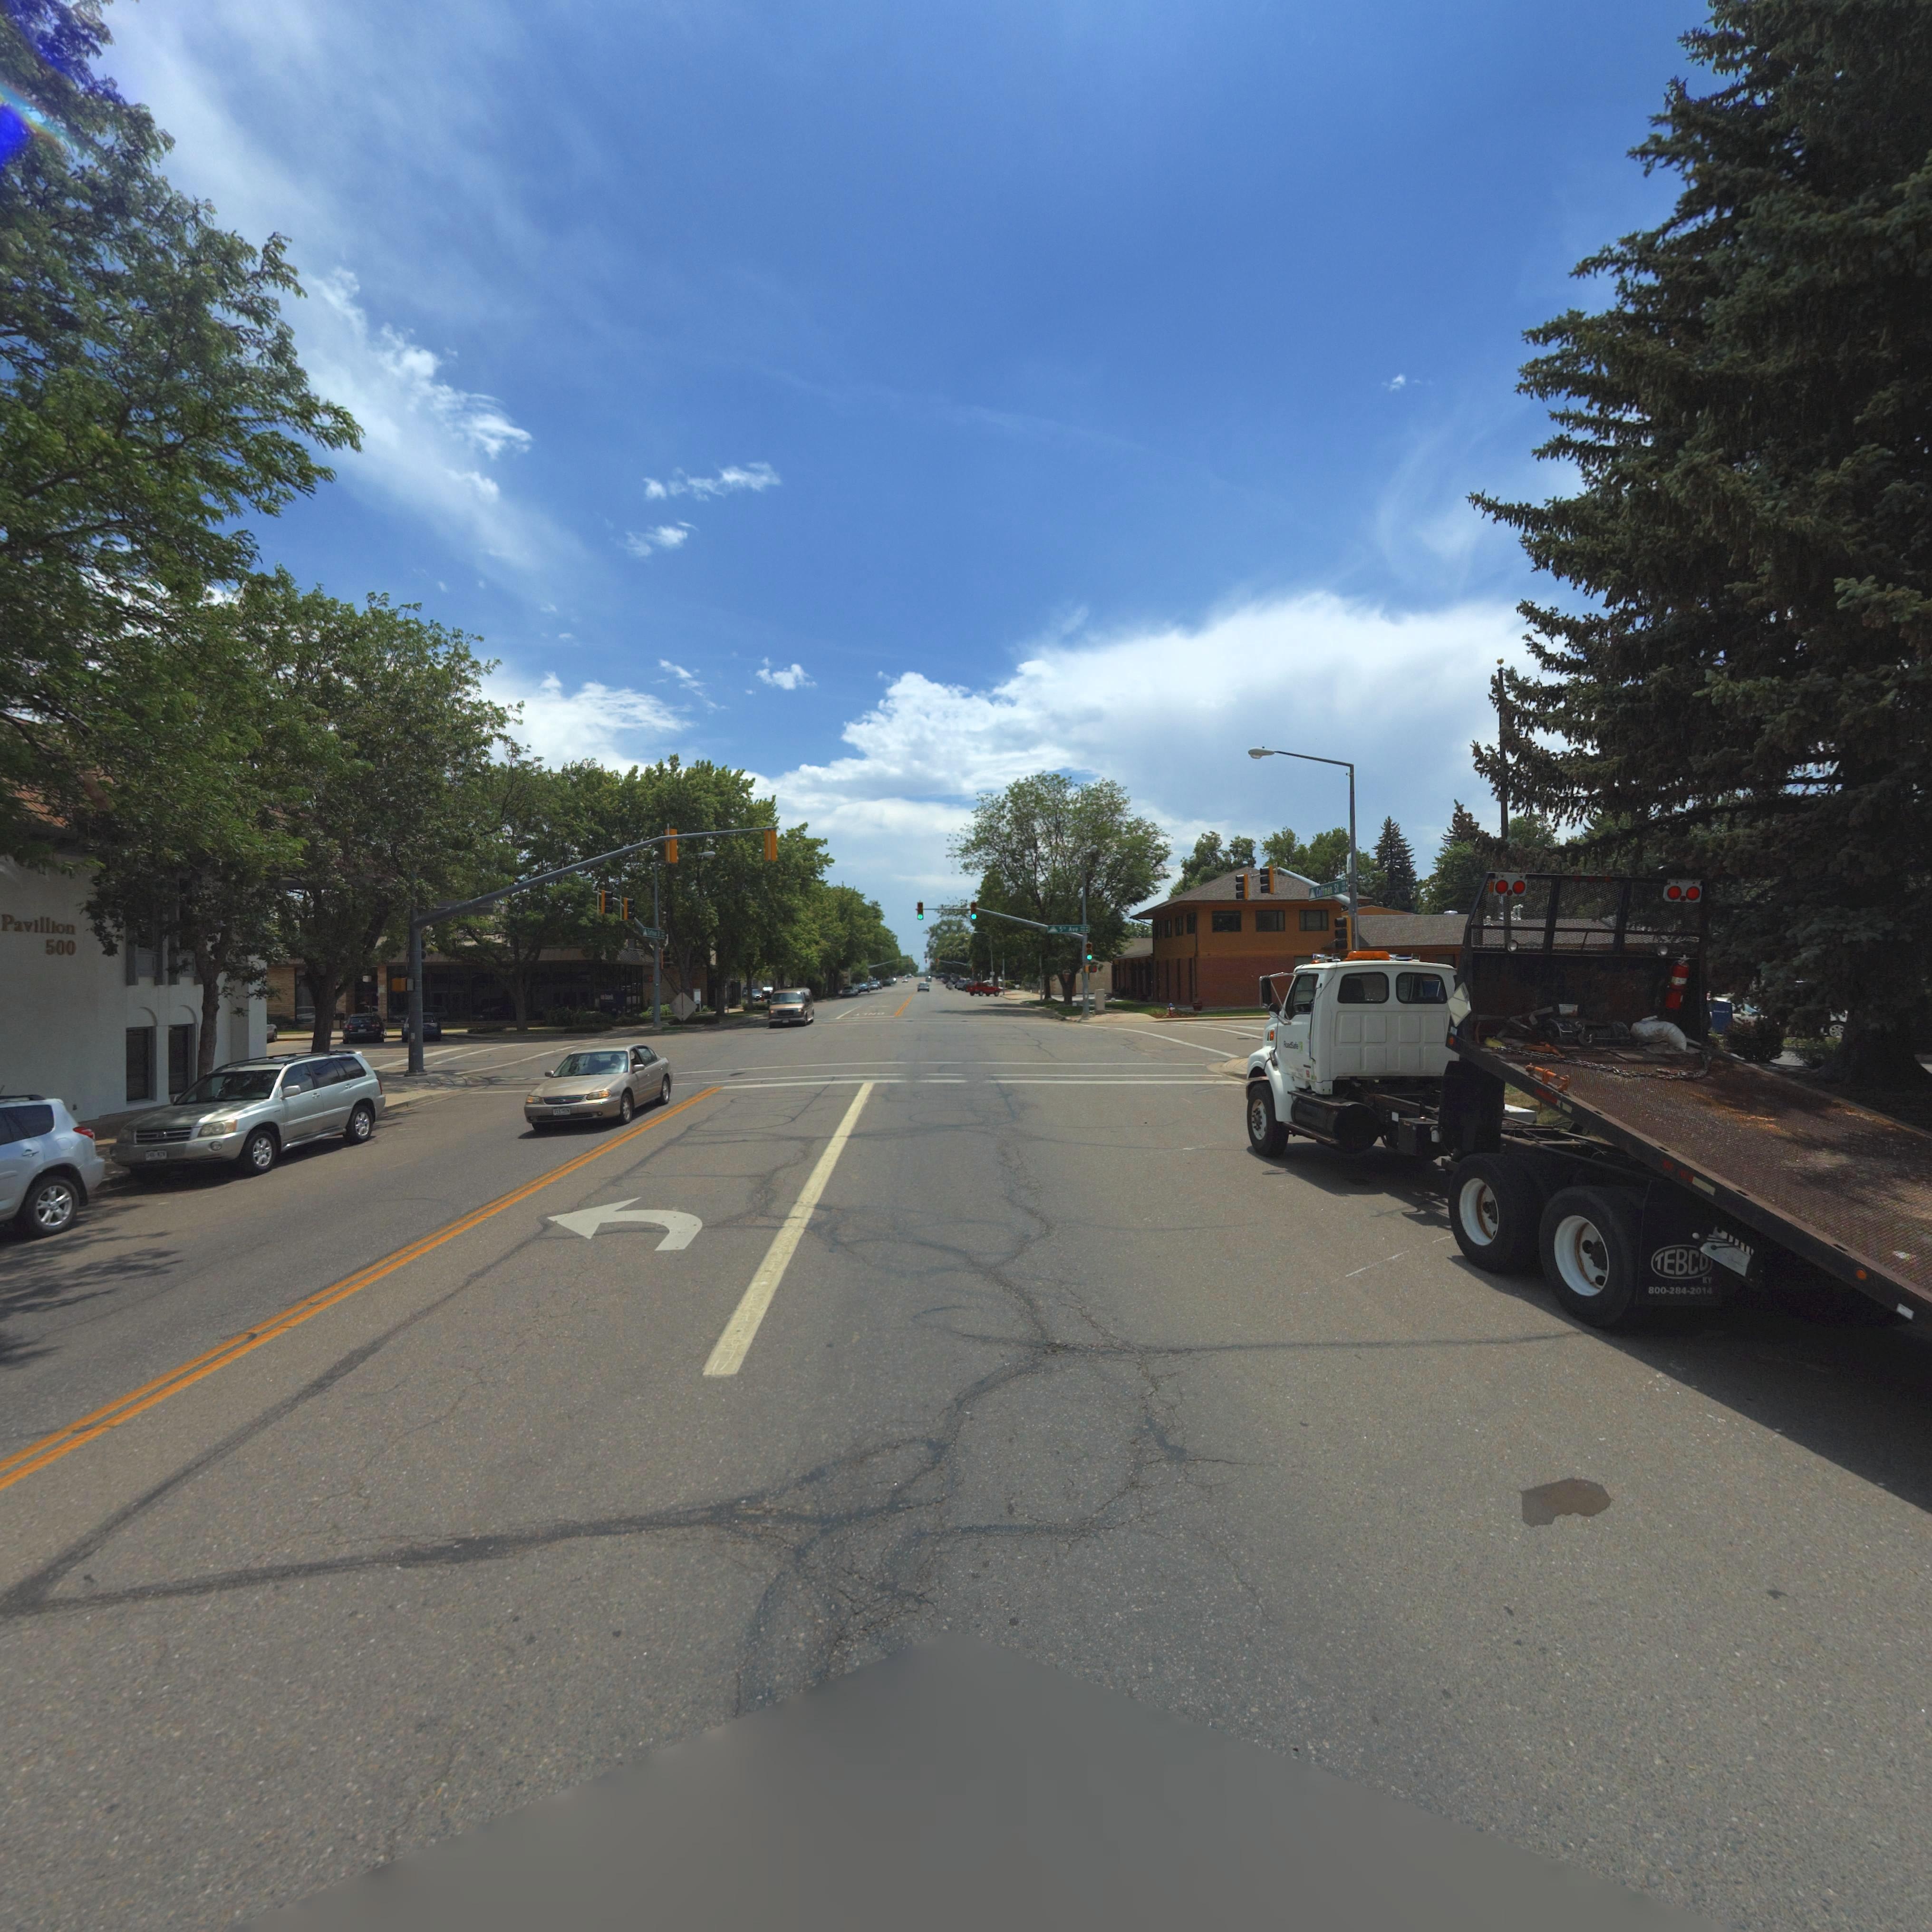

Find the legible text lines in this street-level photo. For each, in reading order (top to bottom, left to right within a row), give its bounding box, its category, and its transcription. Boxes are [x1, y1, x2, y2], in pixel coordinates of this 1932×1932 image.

[1316, 883, 1339, 897] StreetName: Coffman St
[1059, 926, 1078, 932] StreetName: 5th Ave
[45, 938, 77, 956] StreetNumber: 500